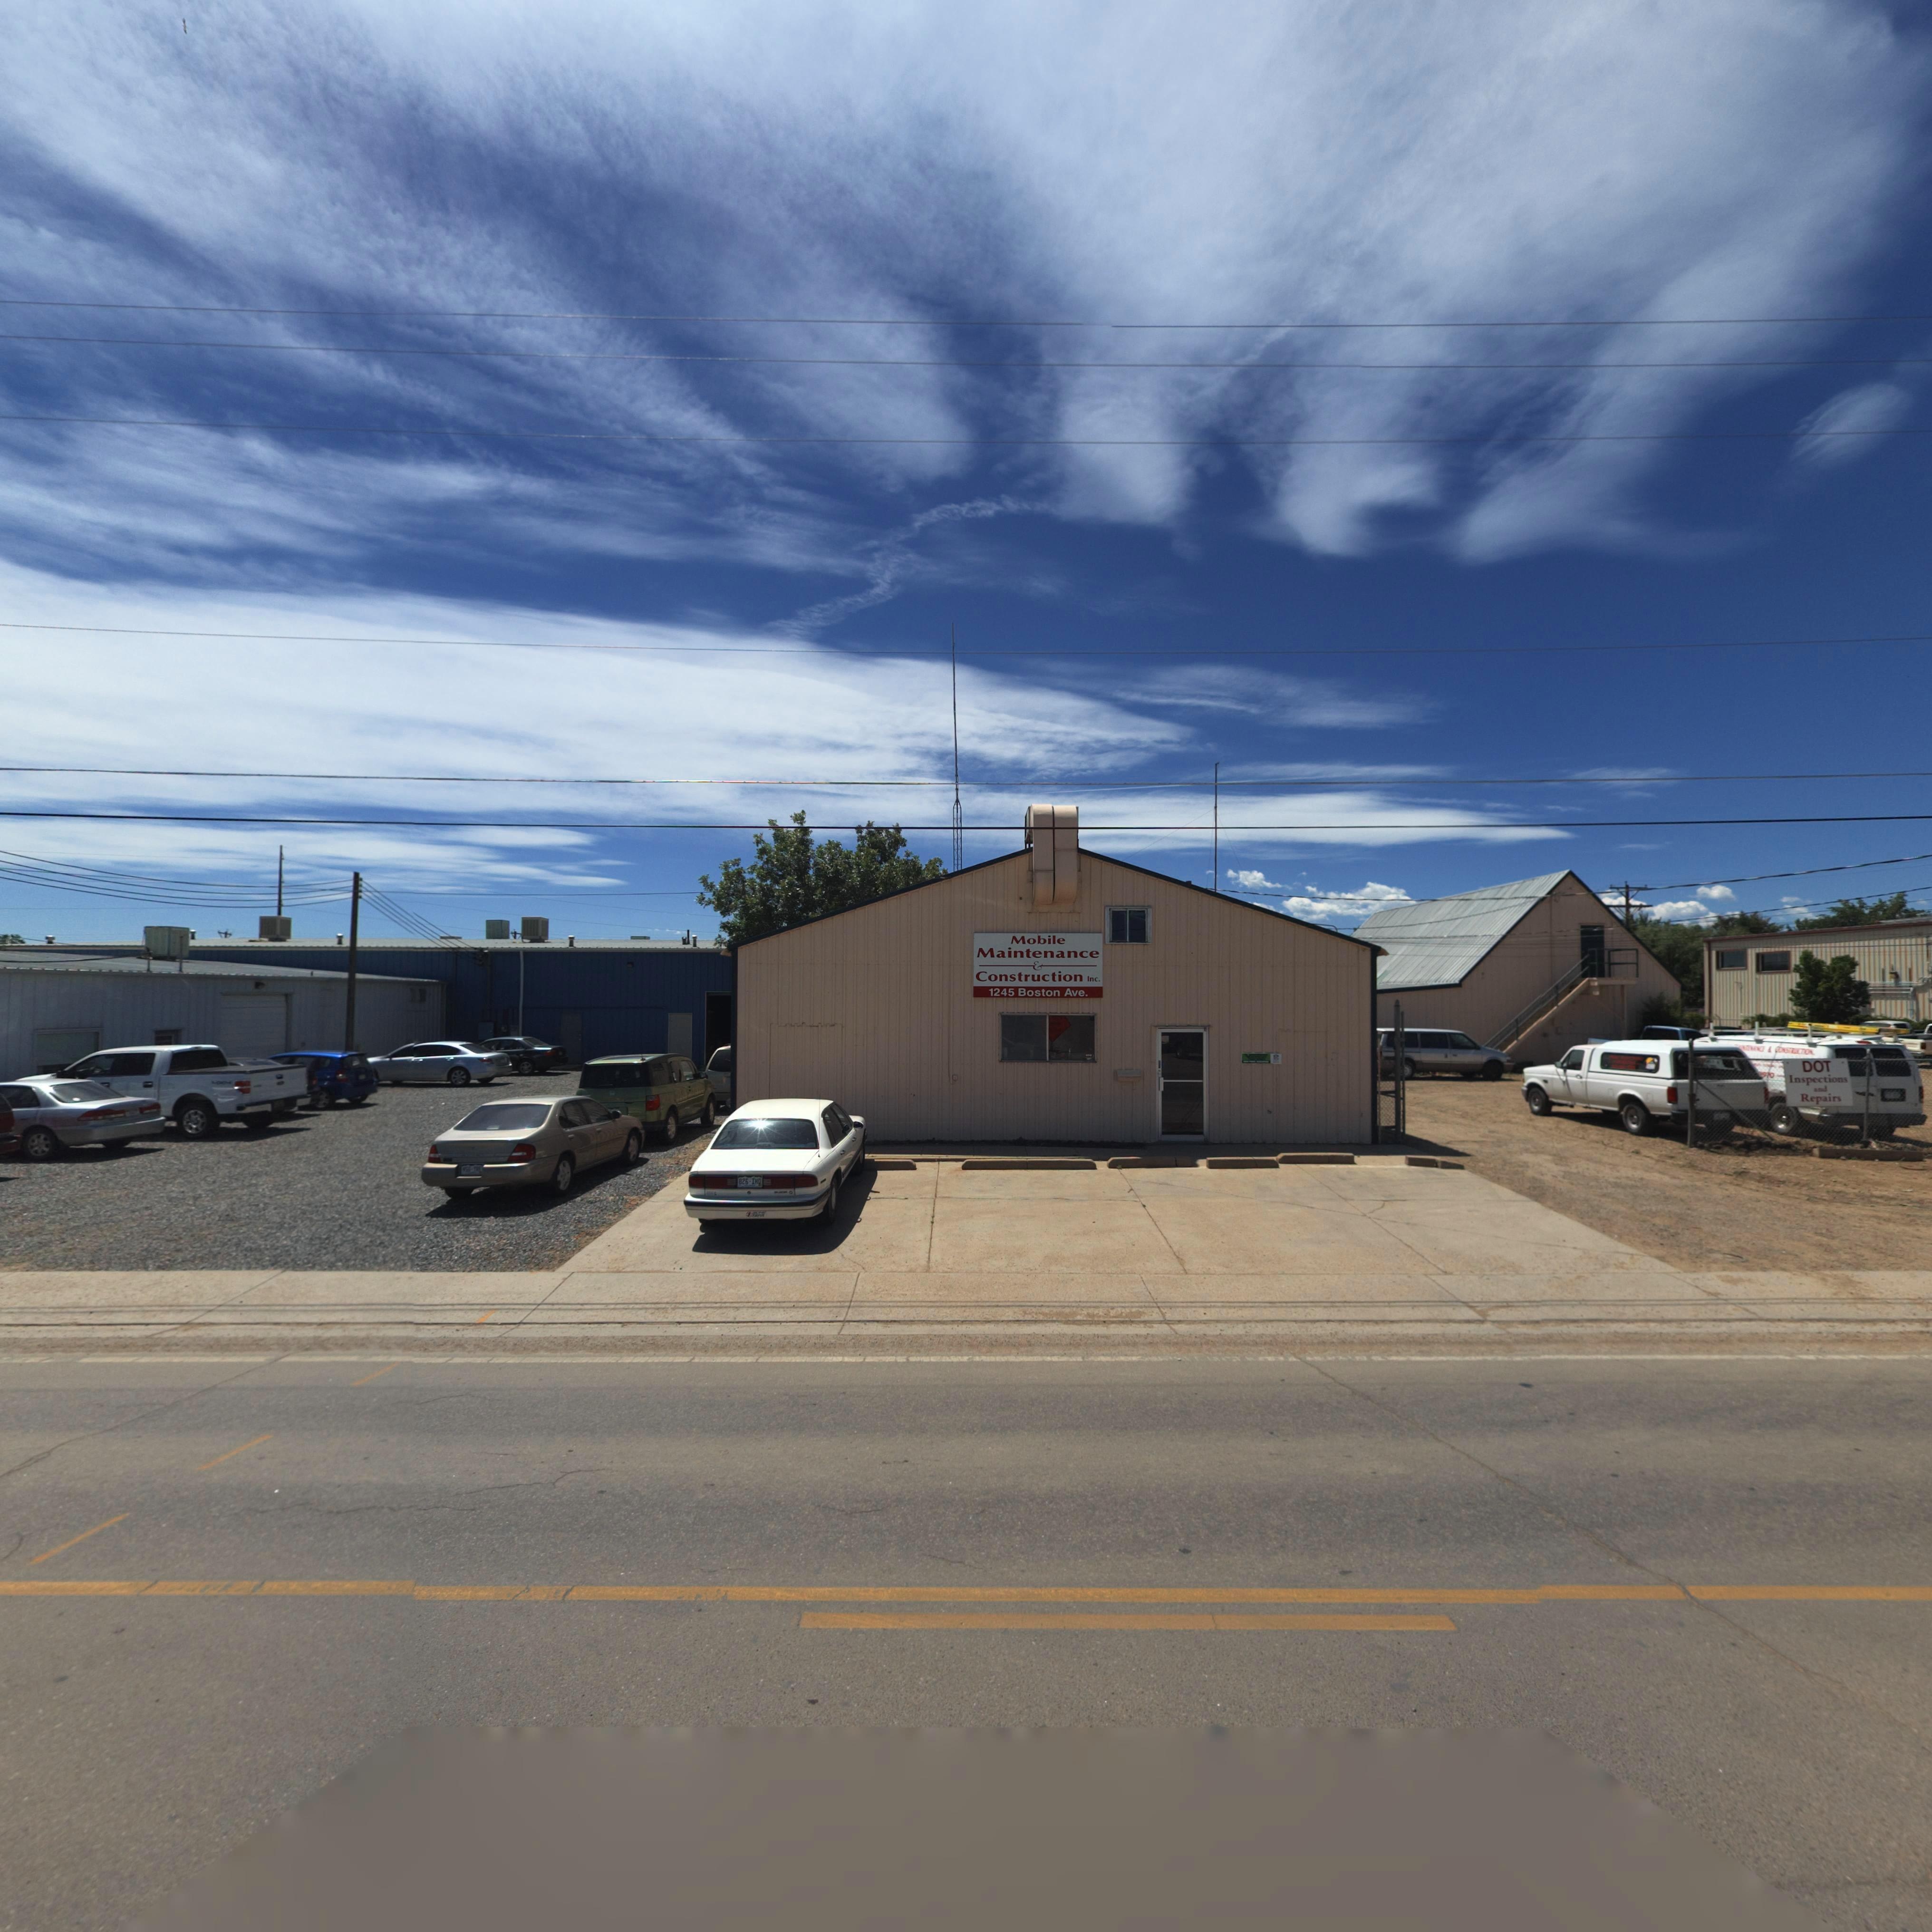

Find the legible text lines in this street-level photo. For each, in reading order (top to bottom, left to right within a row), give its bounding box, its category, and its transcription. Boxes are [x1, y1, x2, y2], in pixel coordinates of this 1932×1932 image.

[1010, 935, 1065, 944] BusinessName: Mobile
[976, 947, 1100, 958] BusinessName: Maintenance
[975, 970, 1083, 982] BusinessName: Construction
[1087, 976, 1100, 982] None: Inc.
[989, 988, 1014, 996] StreetNumber: 1245
[1018, 987, 1088, 997] StreetName: Boston Ave*